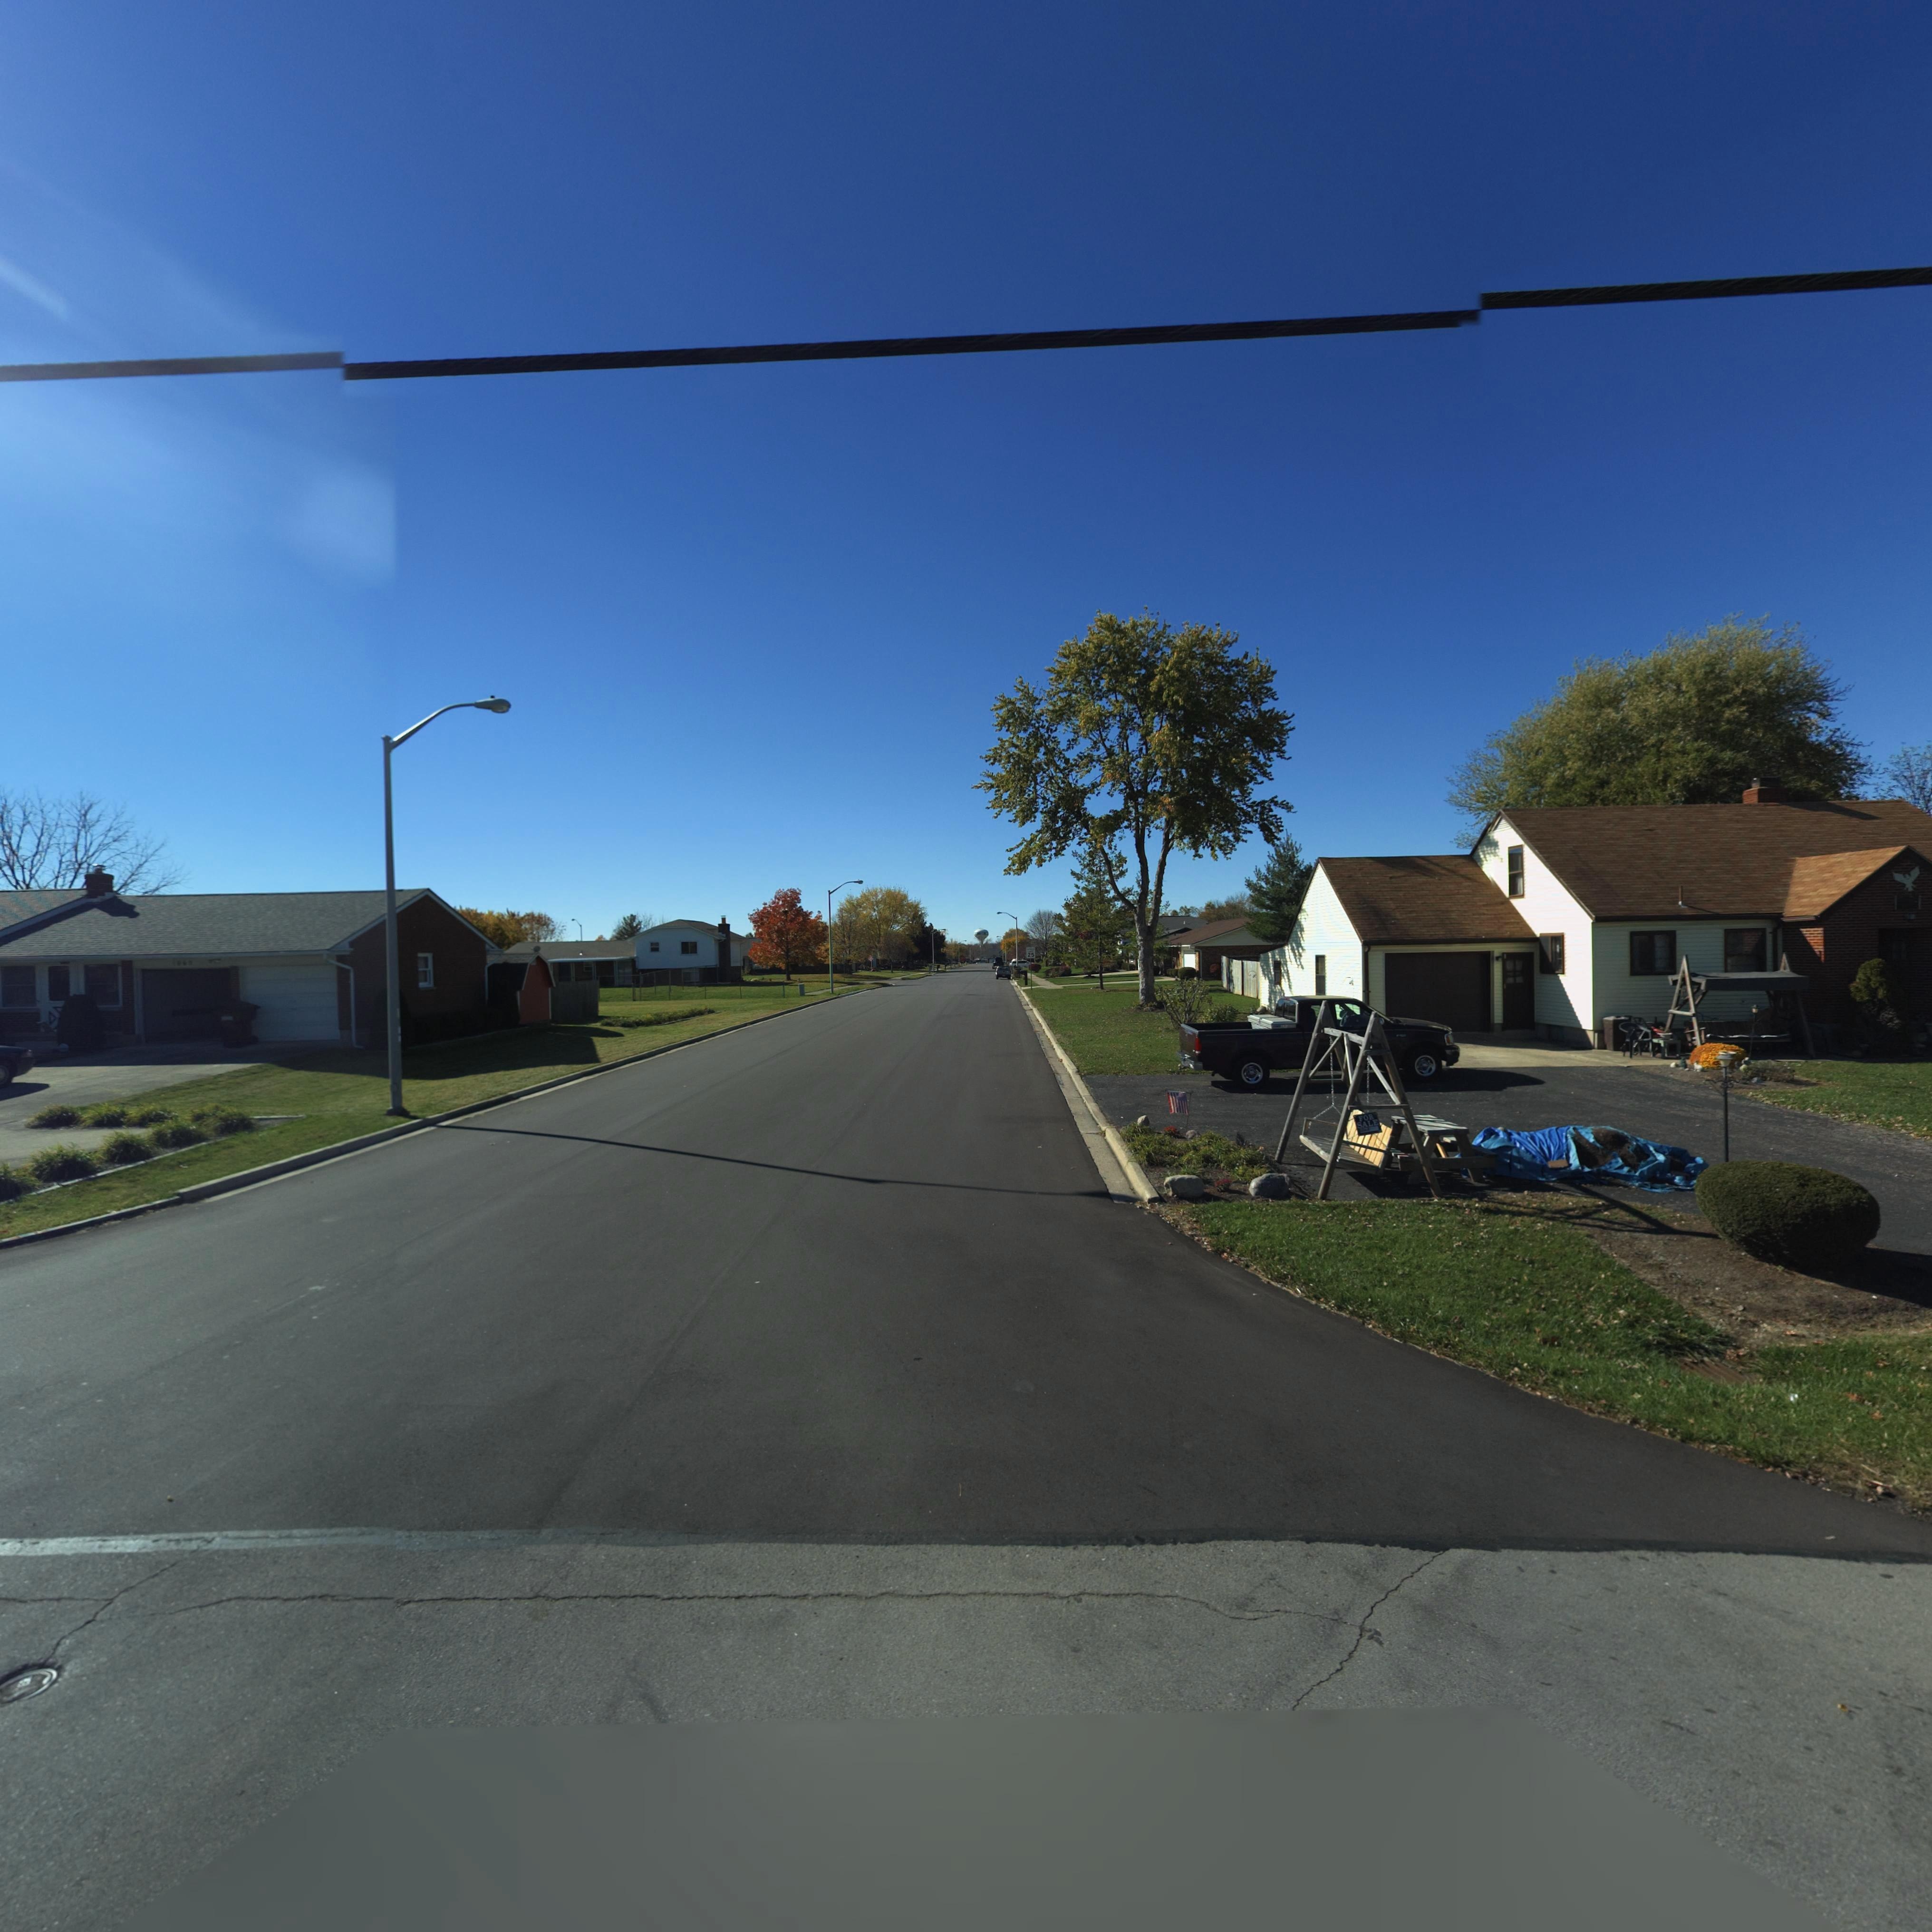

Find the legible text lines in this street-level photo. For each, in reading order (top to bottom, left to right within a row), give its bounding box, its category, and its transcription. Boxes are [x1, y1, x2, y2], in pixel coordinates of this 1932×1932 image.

[172, 958, 193, 967] StreetNumber: **6*